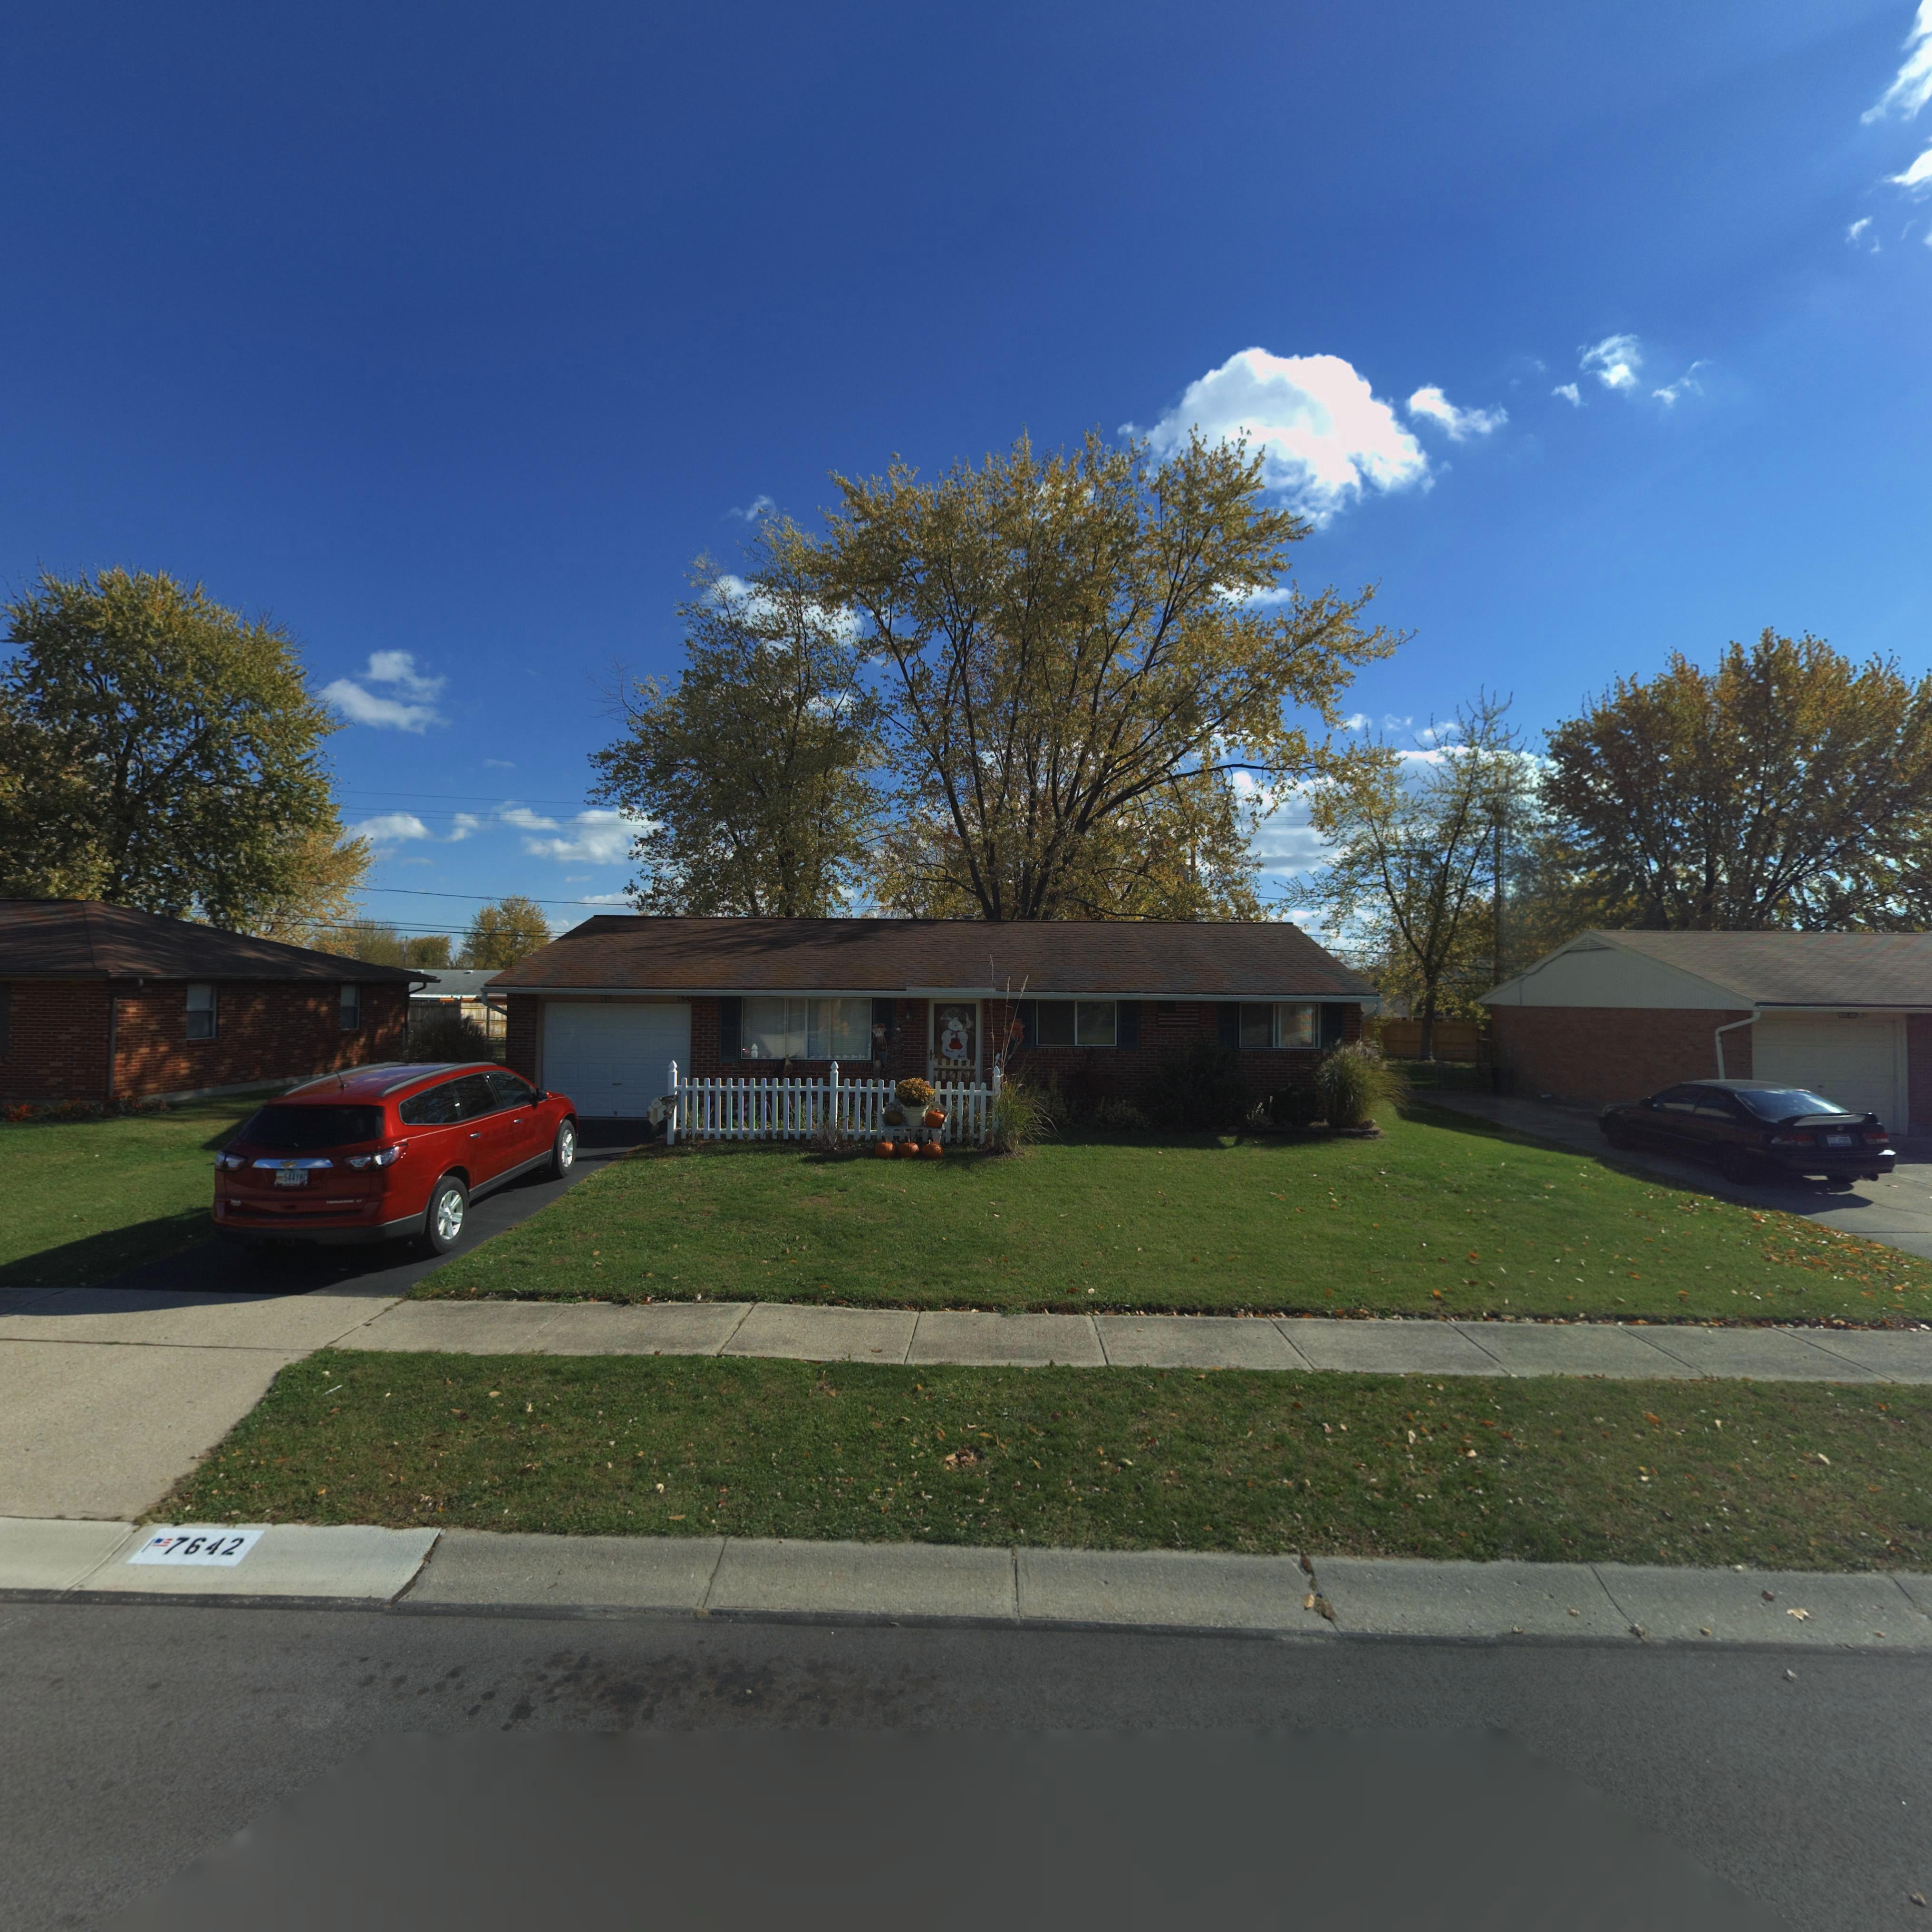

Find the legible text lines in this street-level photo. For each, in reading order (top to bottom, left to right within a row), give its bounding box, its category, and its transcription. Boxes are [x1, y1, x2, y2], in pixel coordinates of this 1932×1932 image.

[676, 994, 687, 1003] StreetNumber: 76
[160, 1535, 246, 1557] StreetNumber: 7642